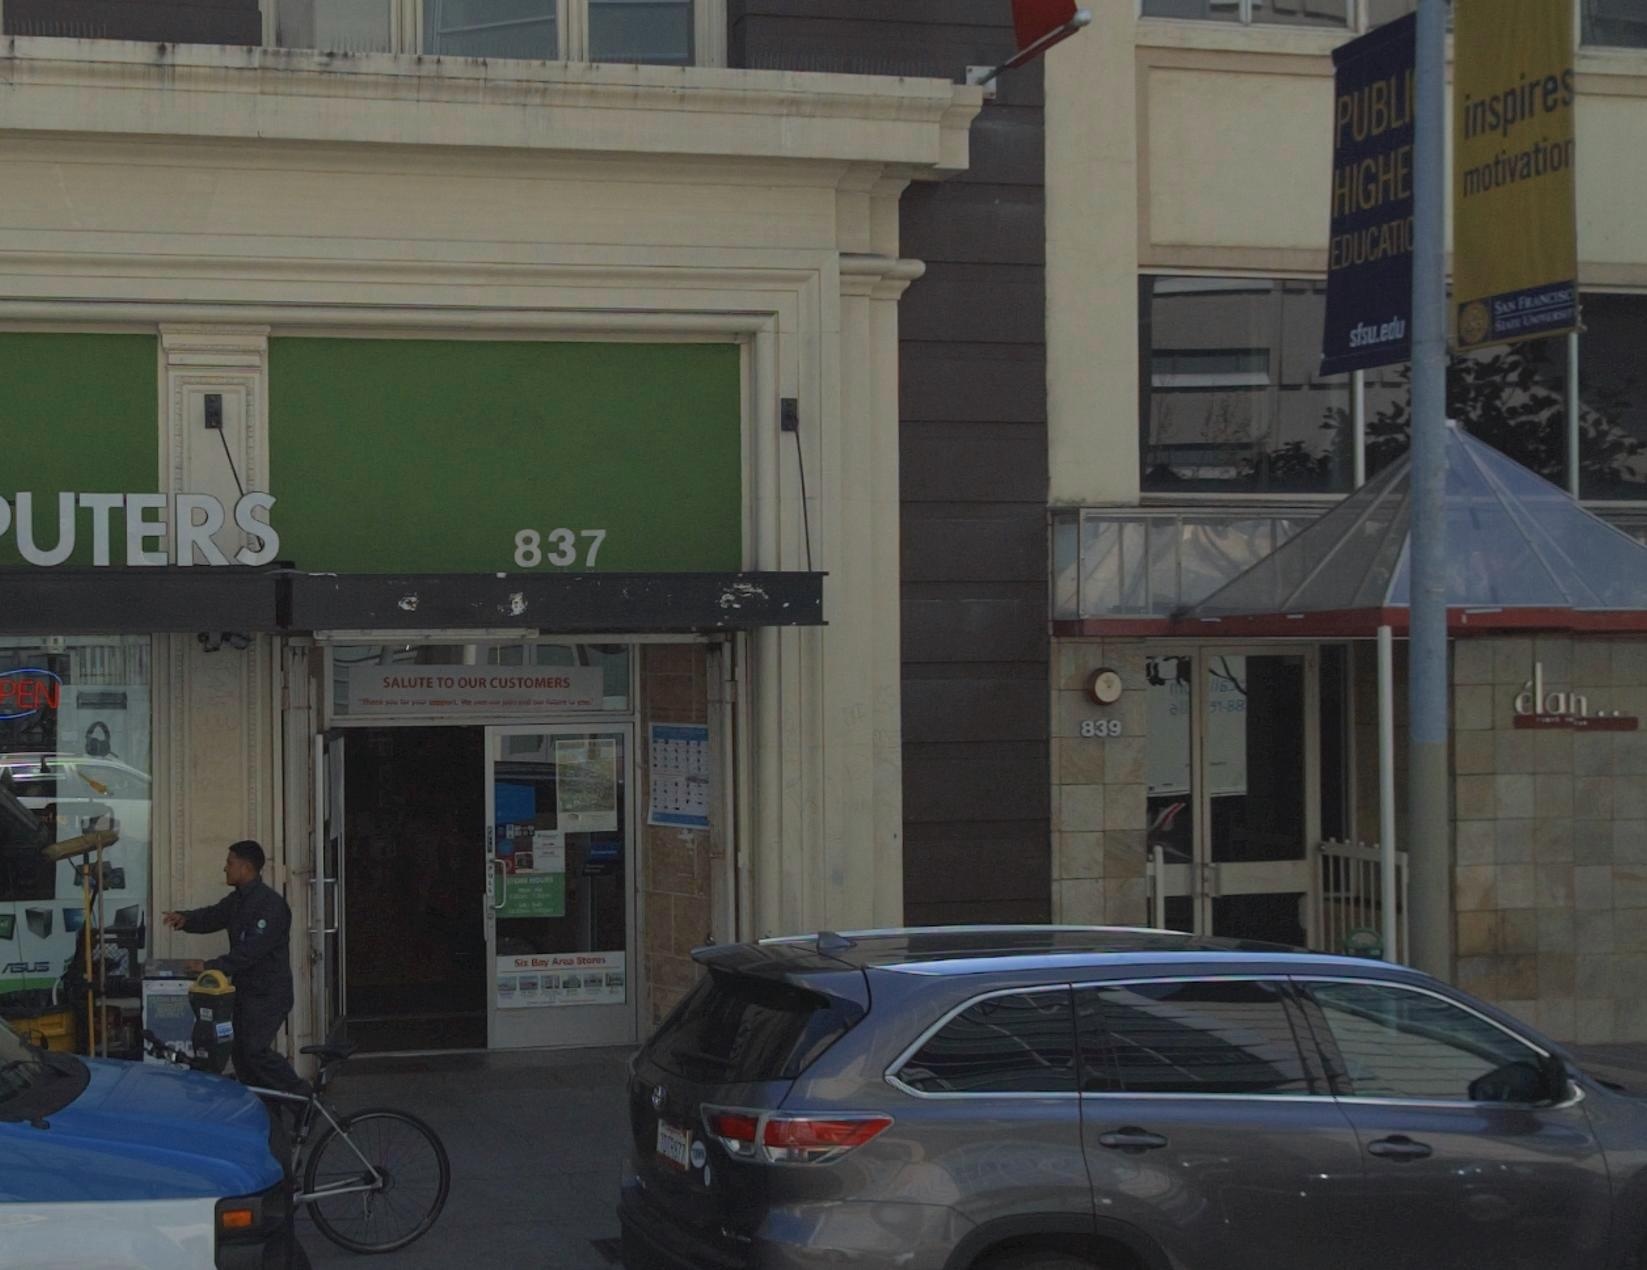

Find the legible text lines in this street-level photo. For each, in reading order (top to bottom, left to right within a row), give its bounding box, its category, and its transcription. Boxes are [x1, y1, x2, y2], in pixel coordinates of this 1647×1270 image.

[1334, 68, 1404, 151] None: PUBL
[1461, 57, 1577, 143] None: inspires
[1332, 140, 1411, 219] None: HIGHE
[1462, 133, 1576, 200] None: motivation
[1329, 216, 1406, 272] None: EDUCATI
[1494, 286, 1574, 314] None: SAN FRANCISCO
[1347, 312, 1406, 350] None: sfsu.edu
[13, 488, 283, 568] BusinessName: UTERS
[513, 526, 608, 569] StreetNumber: 837
[15, 679, 60, 708] None: EN
[381, 676, 570, 689] None: SALUTE TO OUR CUSTOMERS
[1080, 719, 1122, 737] StreetNumber: 839